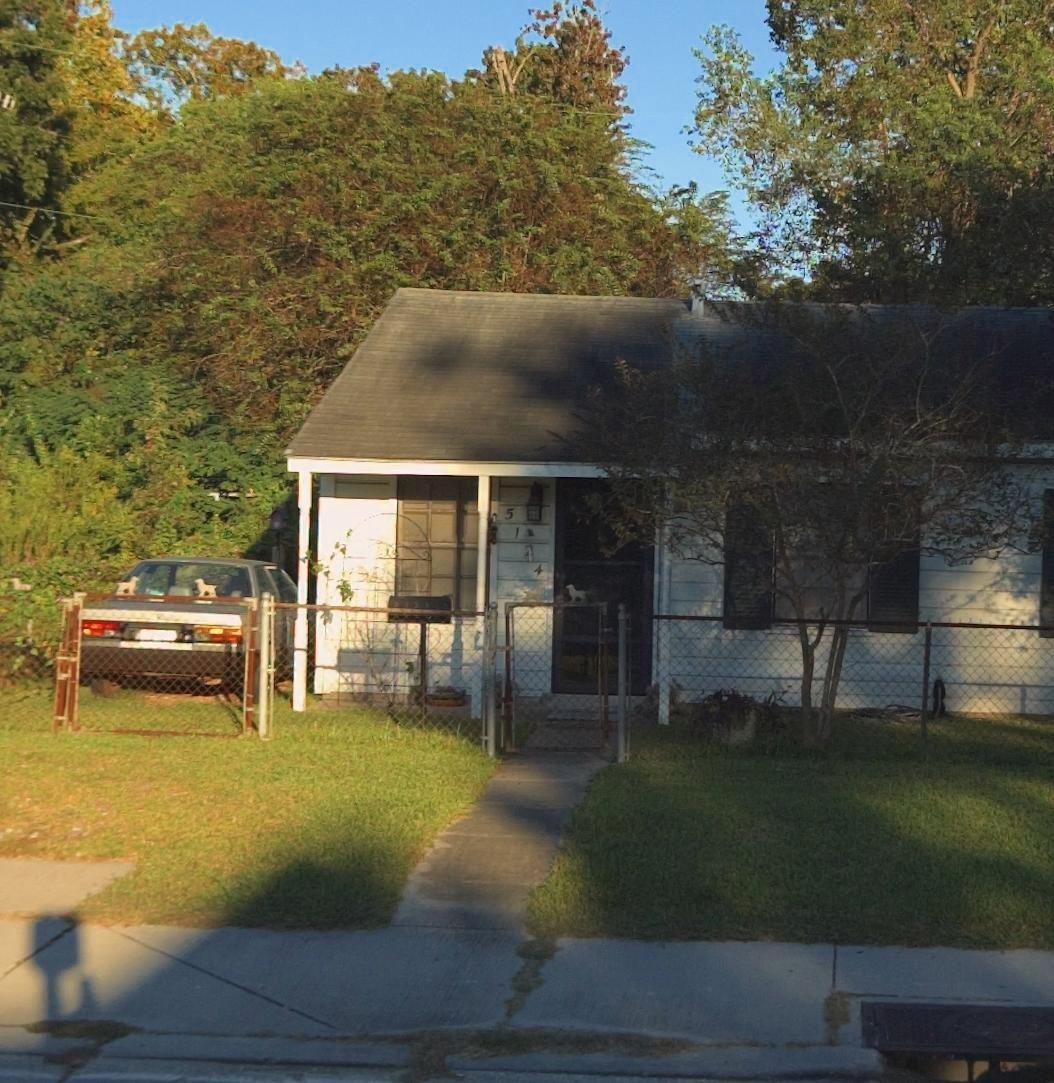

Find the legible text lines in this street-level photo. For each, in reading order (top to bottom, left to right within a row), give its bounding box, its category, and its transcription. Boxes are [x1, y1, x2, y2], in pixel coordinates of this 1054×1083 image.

[503, 507, 545, 584] StreetNumber: 5124